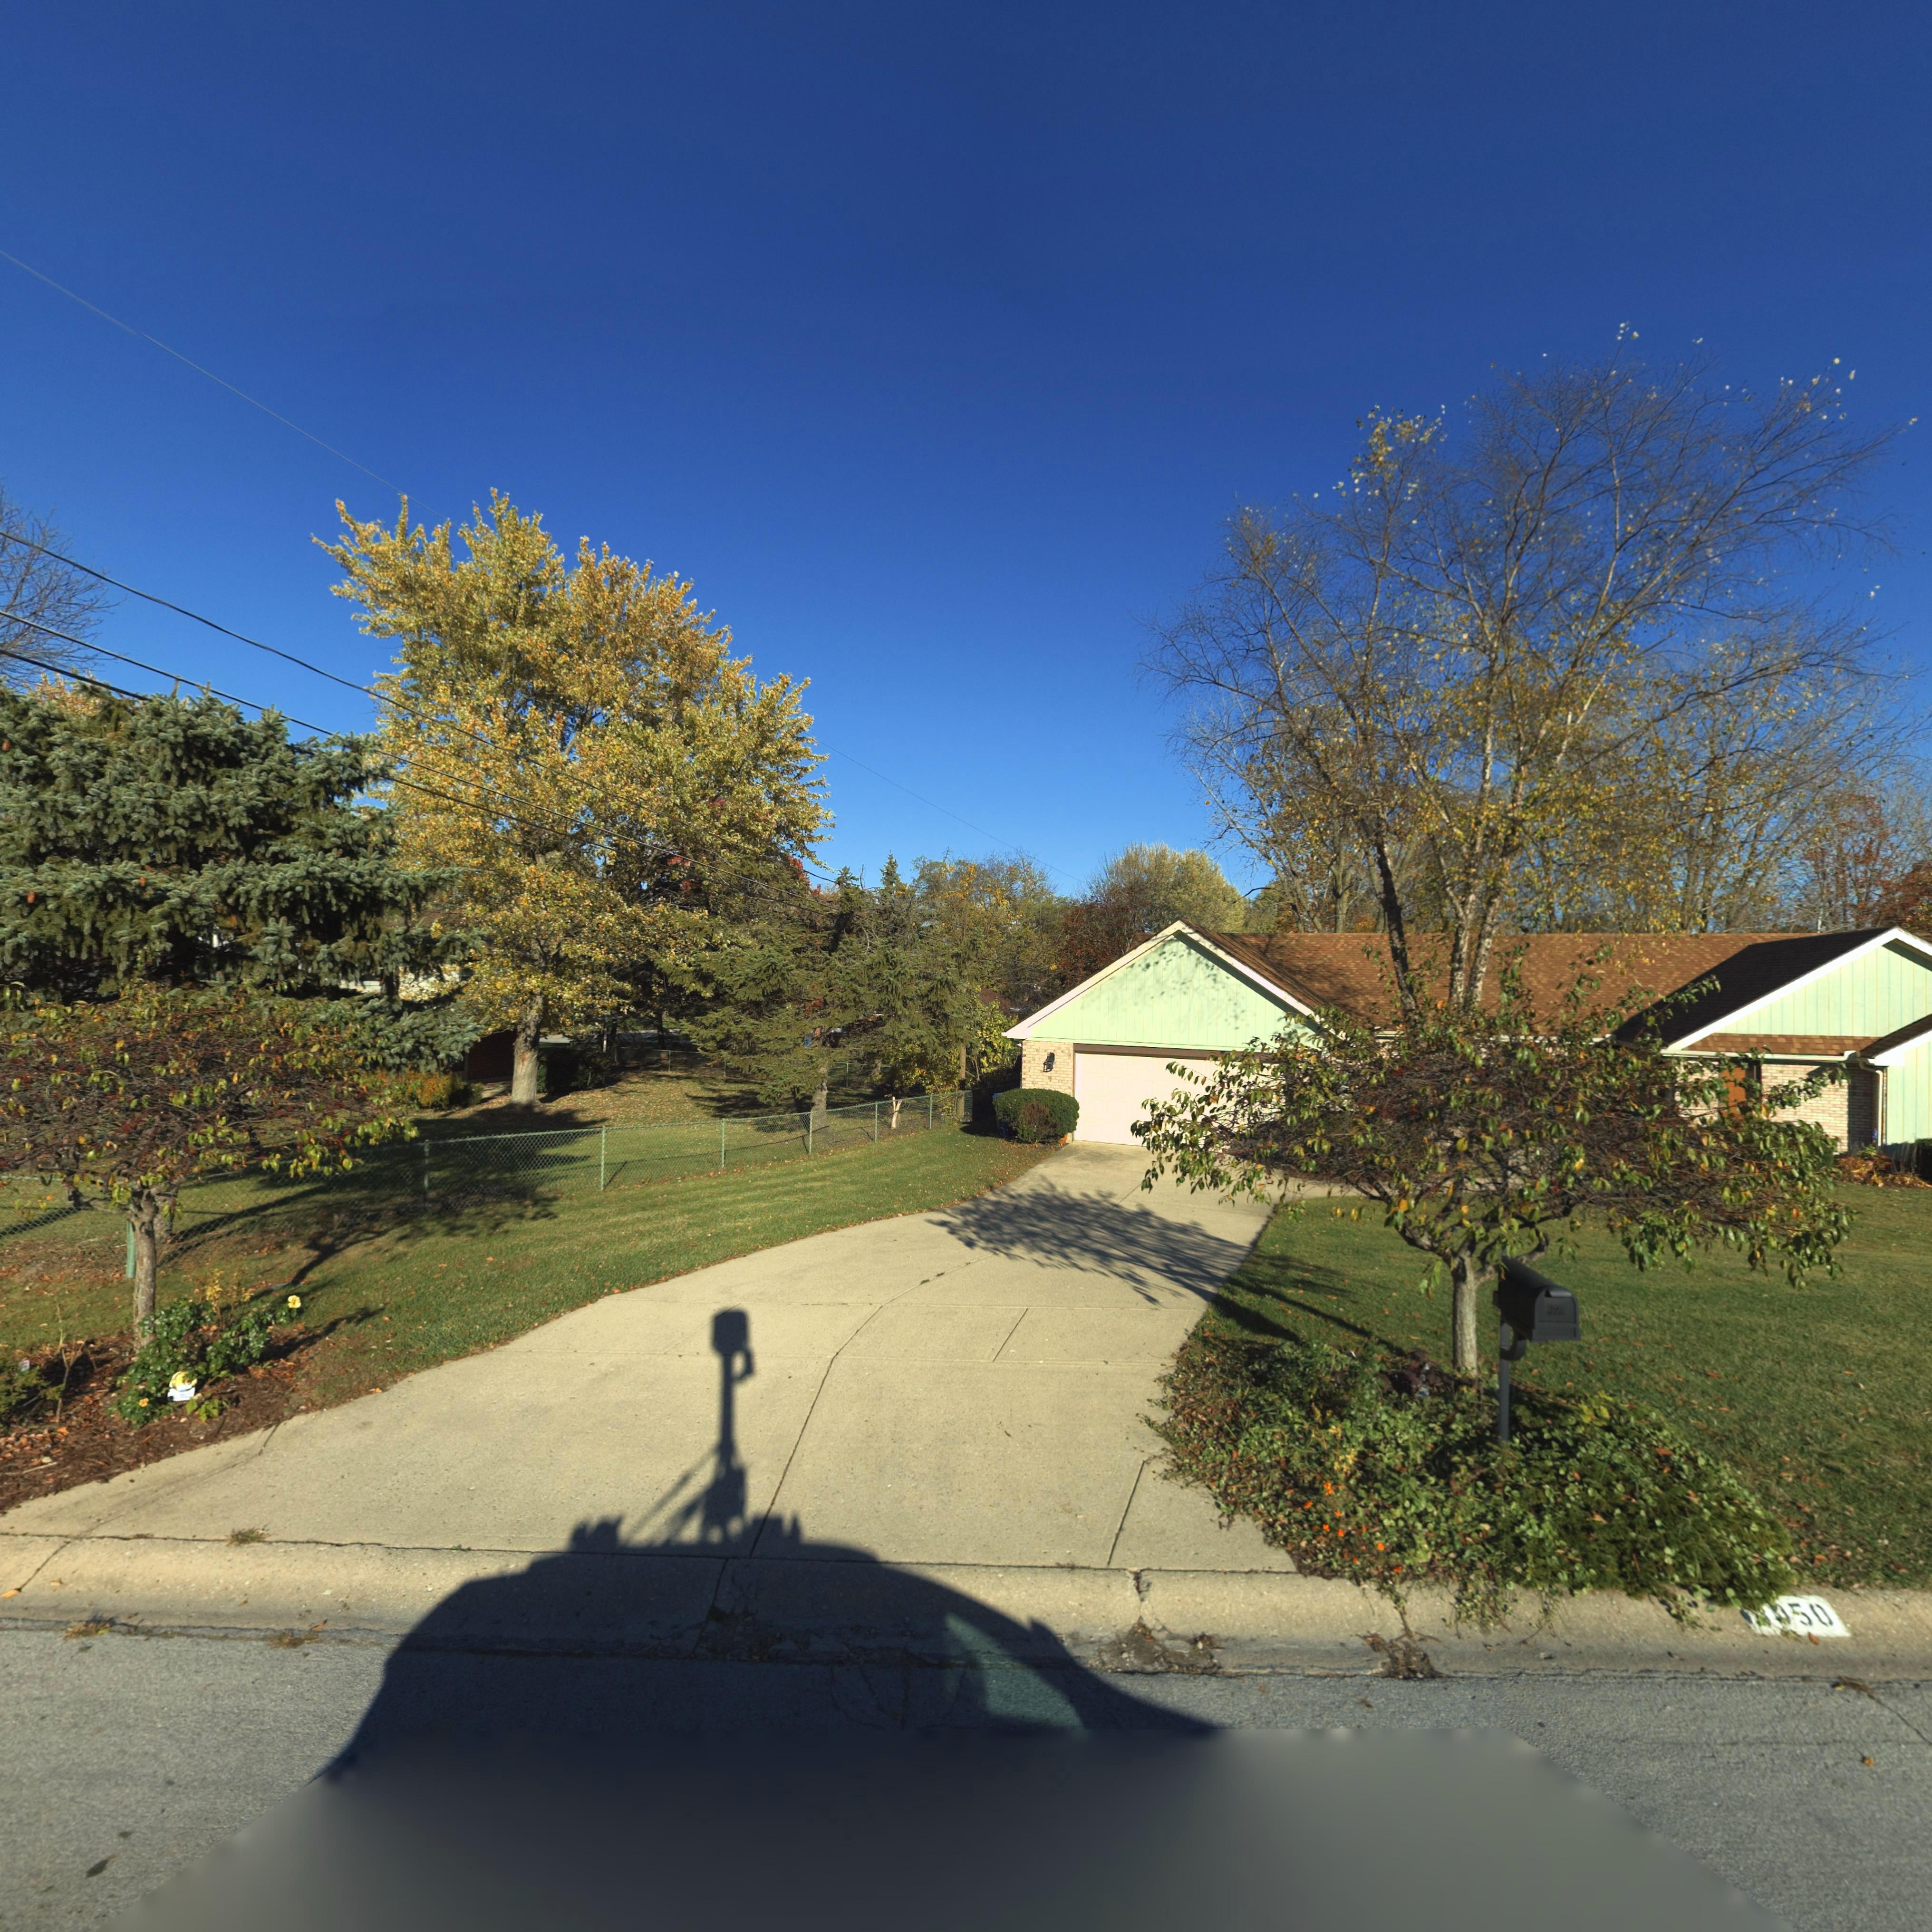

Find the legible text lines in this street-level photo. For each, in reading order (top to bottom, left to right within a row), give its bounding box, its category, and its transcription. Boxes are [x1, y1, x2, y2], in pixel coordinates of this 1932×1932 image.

[1787, 1603, 1834, 1627] StreetNumber: 50